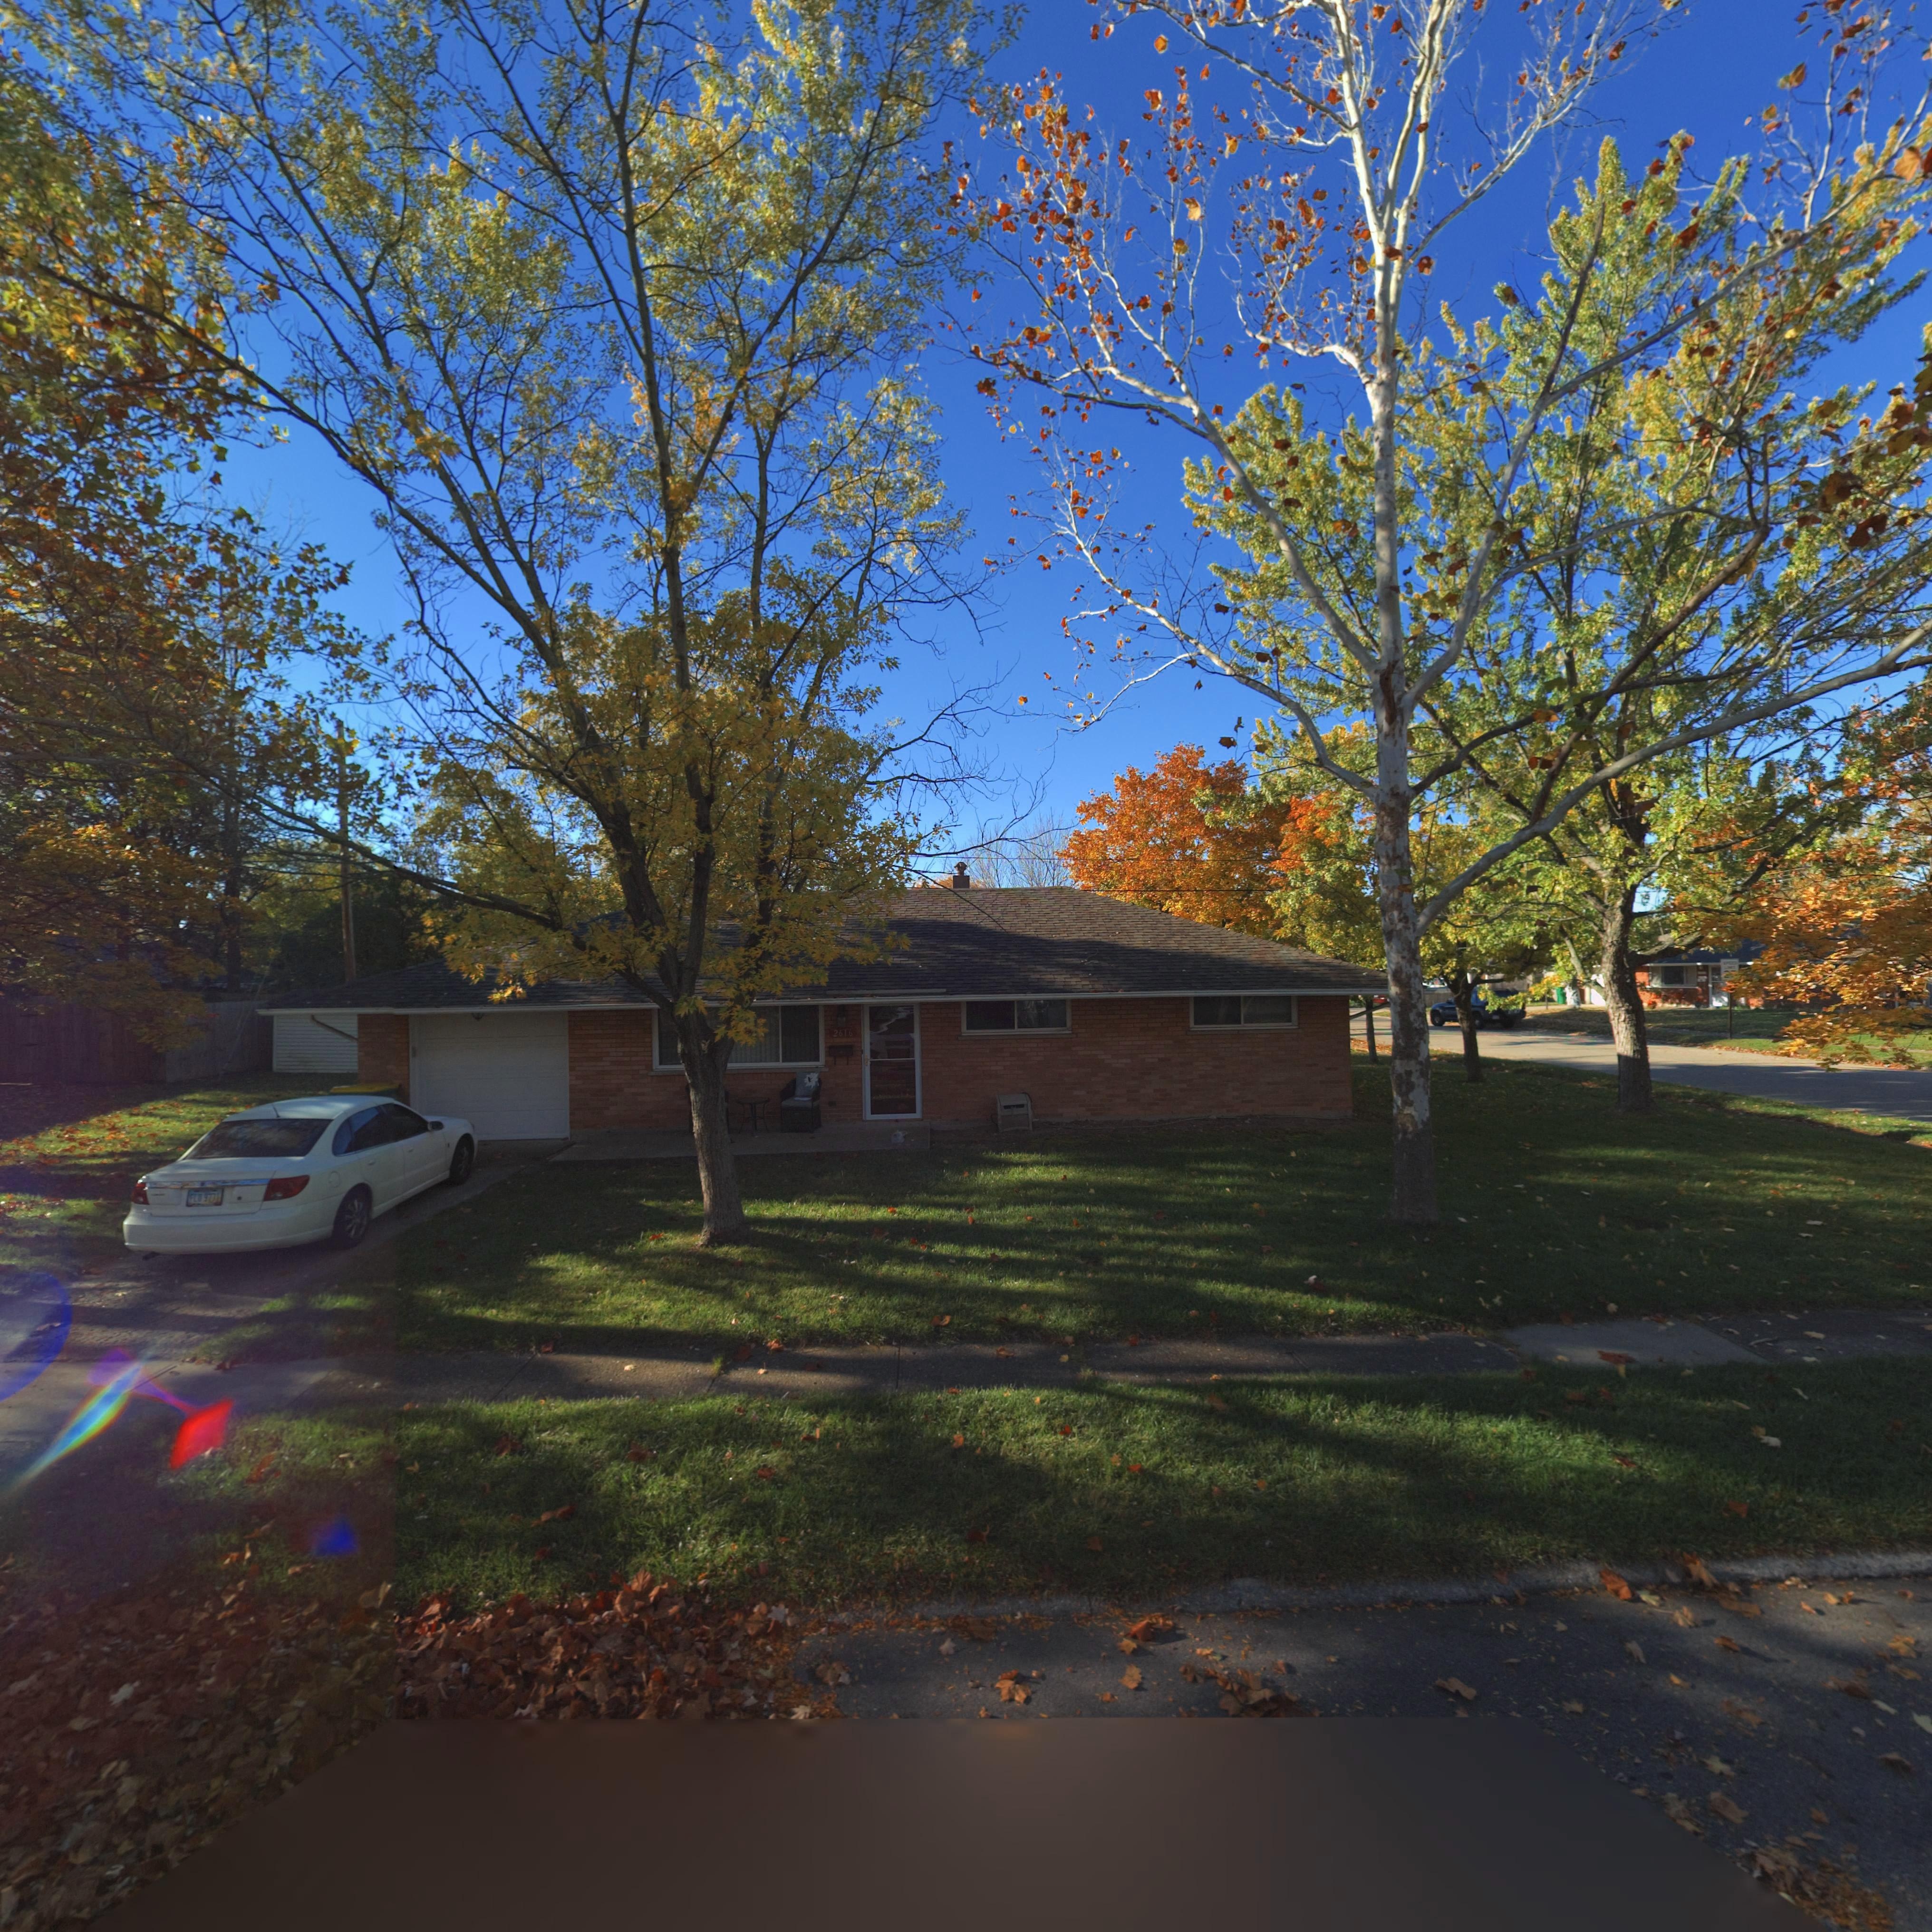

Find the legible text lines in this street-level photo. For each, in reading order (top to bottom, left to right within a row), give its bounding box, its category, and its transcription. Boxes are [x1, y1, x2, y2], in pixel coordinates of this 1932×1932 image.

[832, 1029, 853, 1037] StreetNumber: 2616